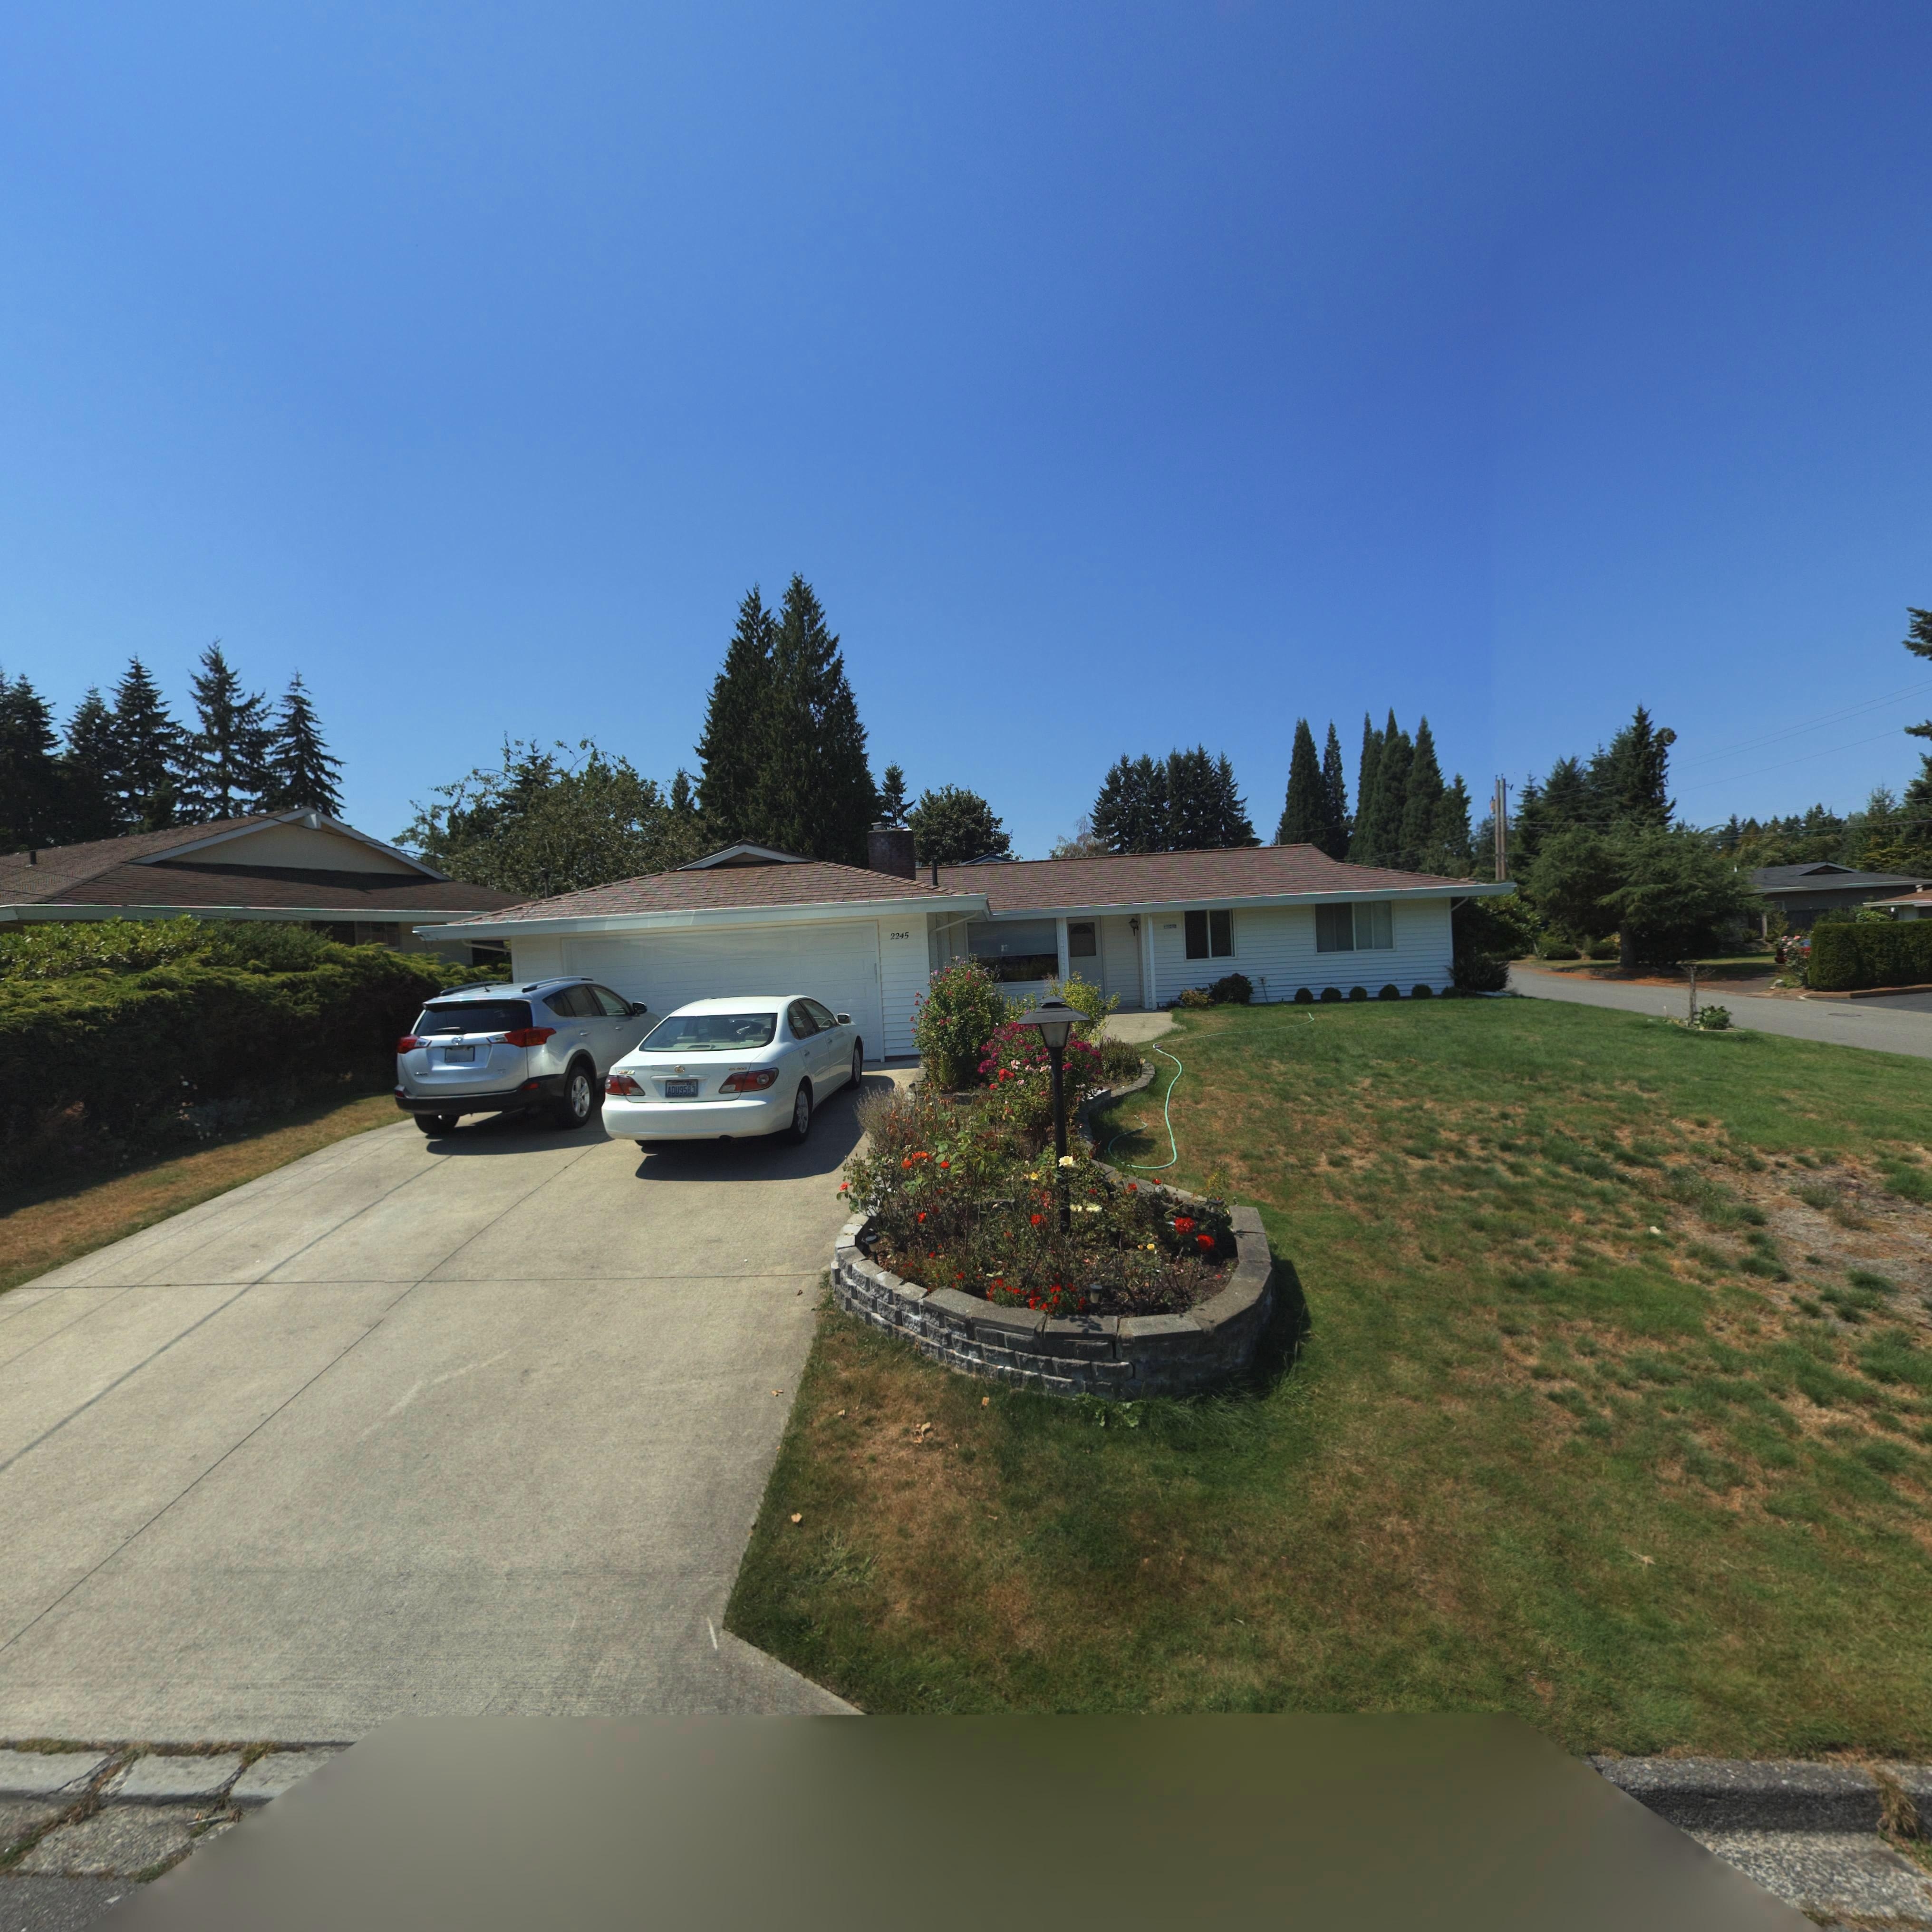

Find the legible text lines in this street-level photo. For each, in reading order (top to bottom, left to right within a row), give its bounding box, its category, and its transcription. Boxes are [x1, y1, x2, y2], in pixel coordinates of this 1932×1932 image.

[889, 931, 909, 940] StreetNumber: 2245